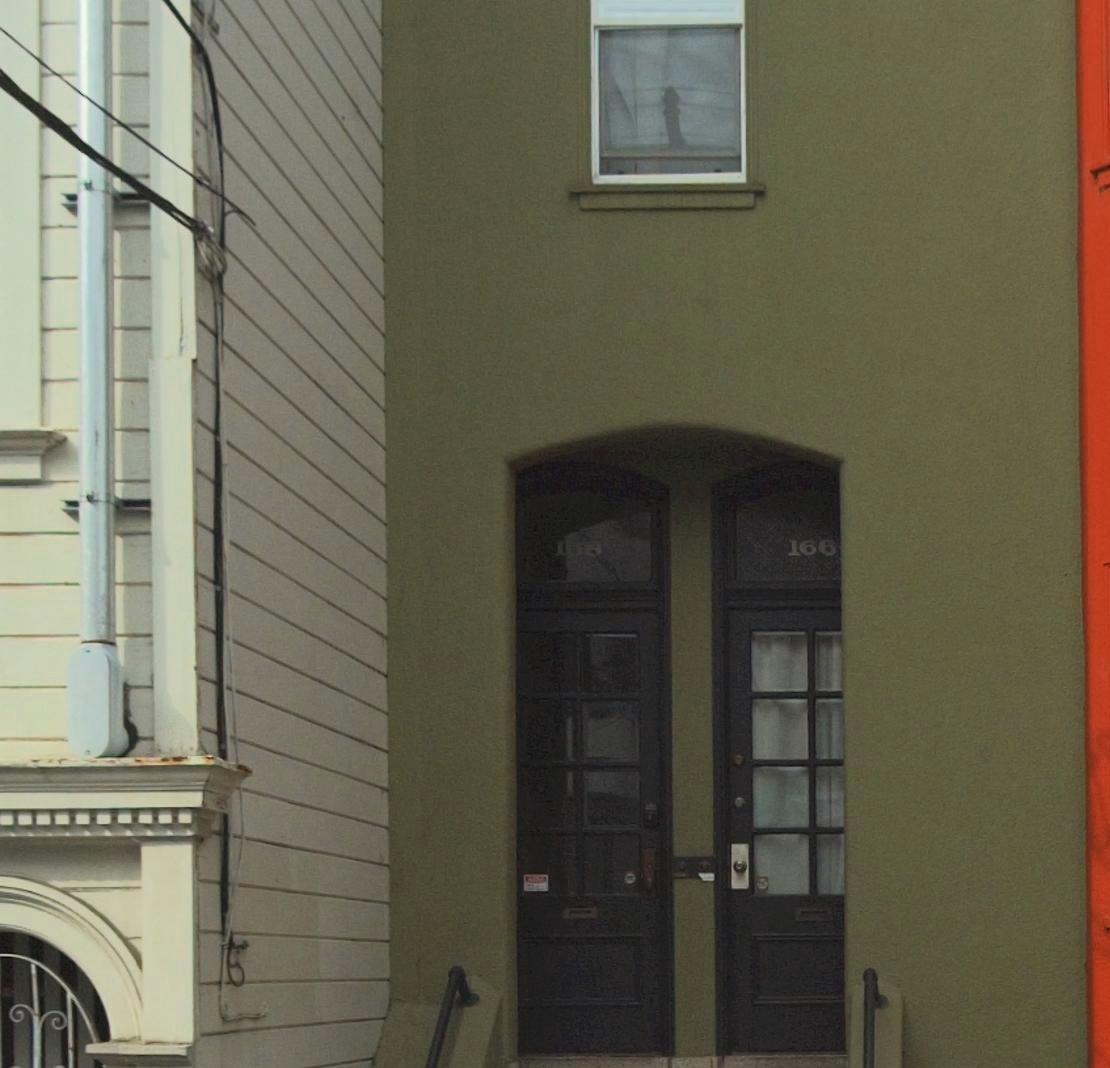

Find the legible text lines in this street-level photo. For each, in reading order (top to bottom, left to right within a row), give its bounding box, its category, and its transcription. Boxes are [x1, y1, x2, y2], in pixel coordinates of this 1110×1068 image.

[551, 534, 604, 559] StreetNumber: 168
[787, 537, 836, 557] StreetNumber: 166